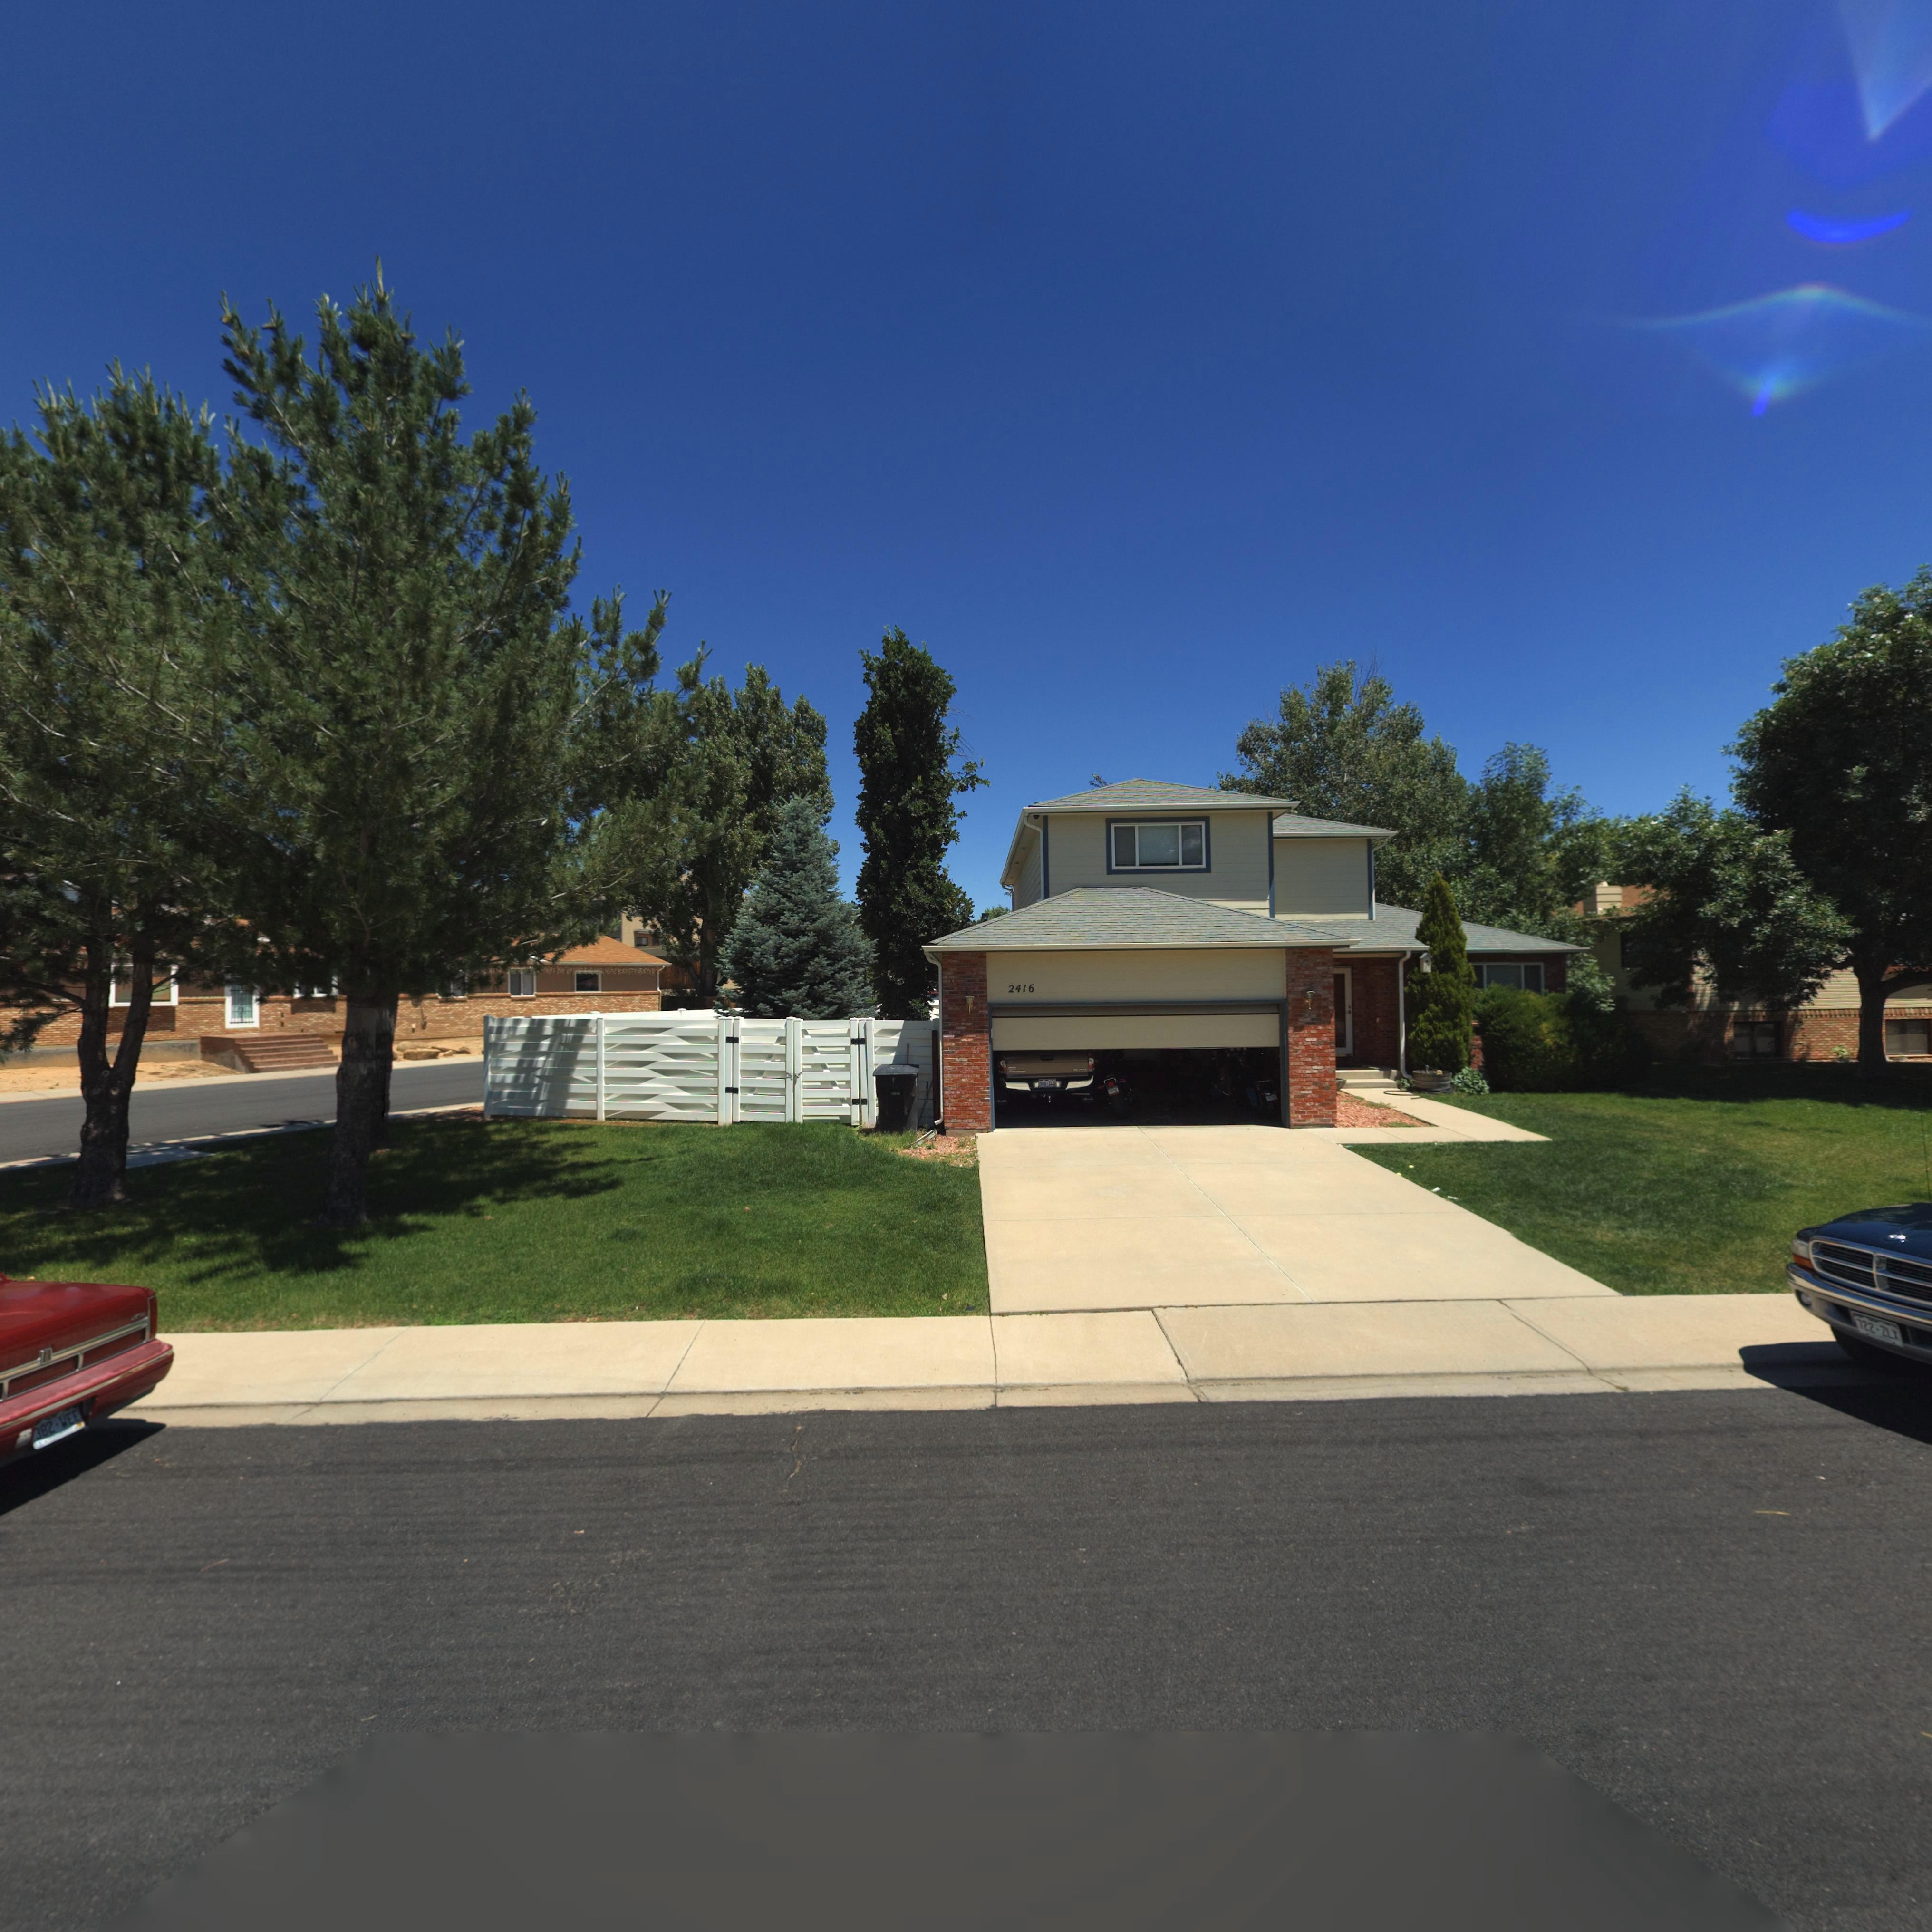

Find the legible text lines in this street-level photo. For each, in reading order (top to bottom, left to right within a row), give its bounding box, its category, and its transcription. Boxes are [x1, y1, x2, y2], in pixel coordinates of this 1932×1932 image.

[1008, 984, 1034, 993] StreetNumber: 2416